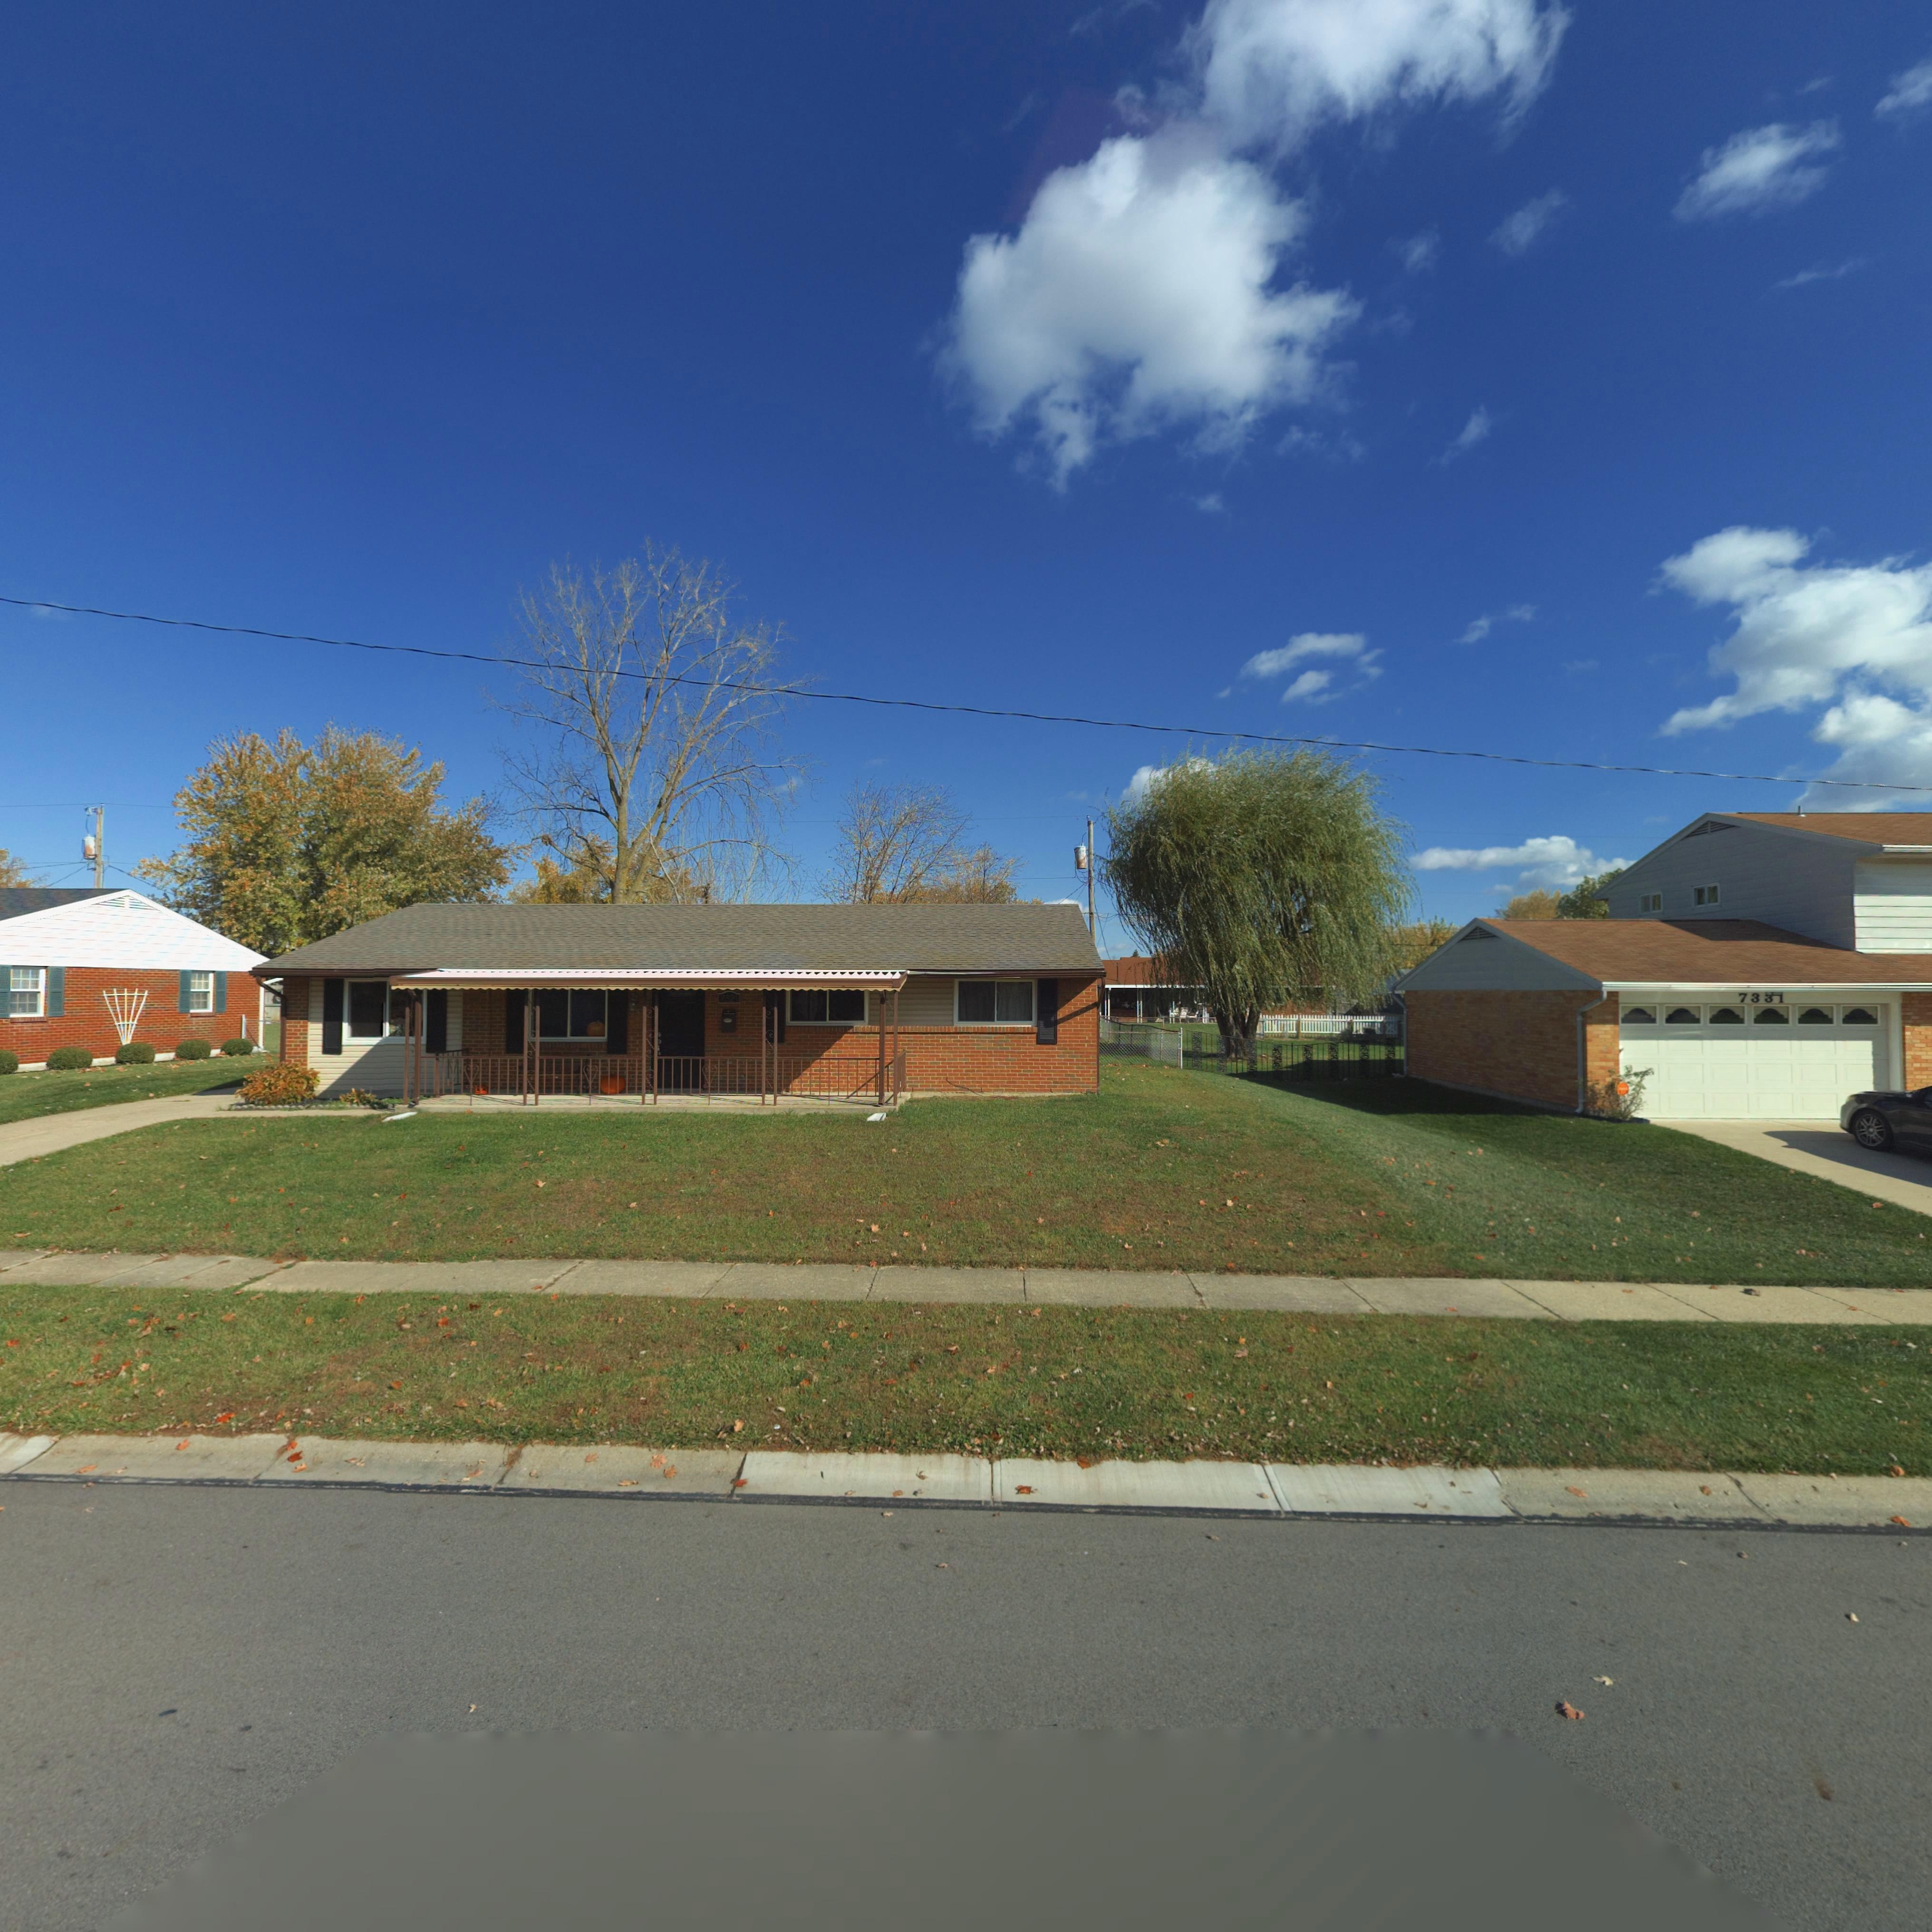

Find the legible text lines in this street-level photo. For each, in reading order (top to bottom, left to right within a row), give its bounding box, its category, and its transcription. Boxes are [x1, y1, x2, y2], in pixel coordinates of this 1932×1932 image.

[720, 994, 739, 1003] StreetNumber: 7321
[1737, 992, 1785, 1004] StreetNumber: 73**